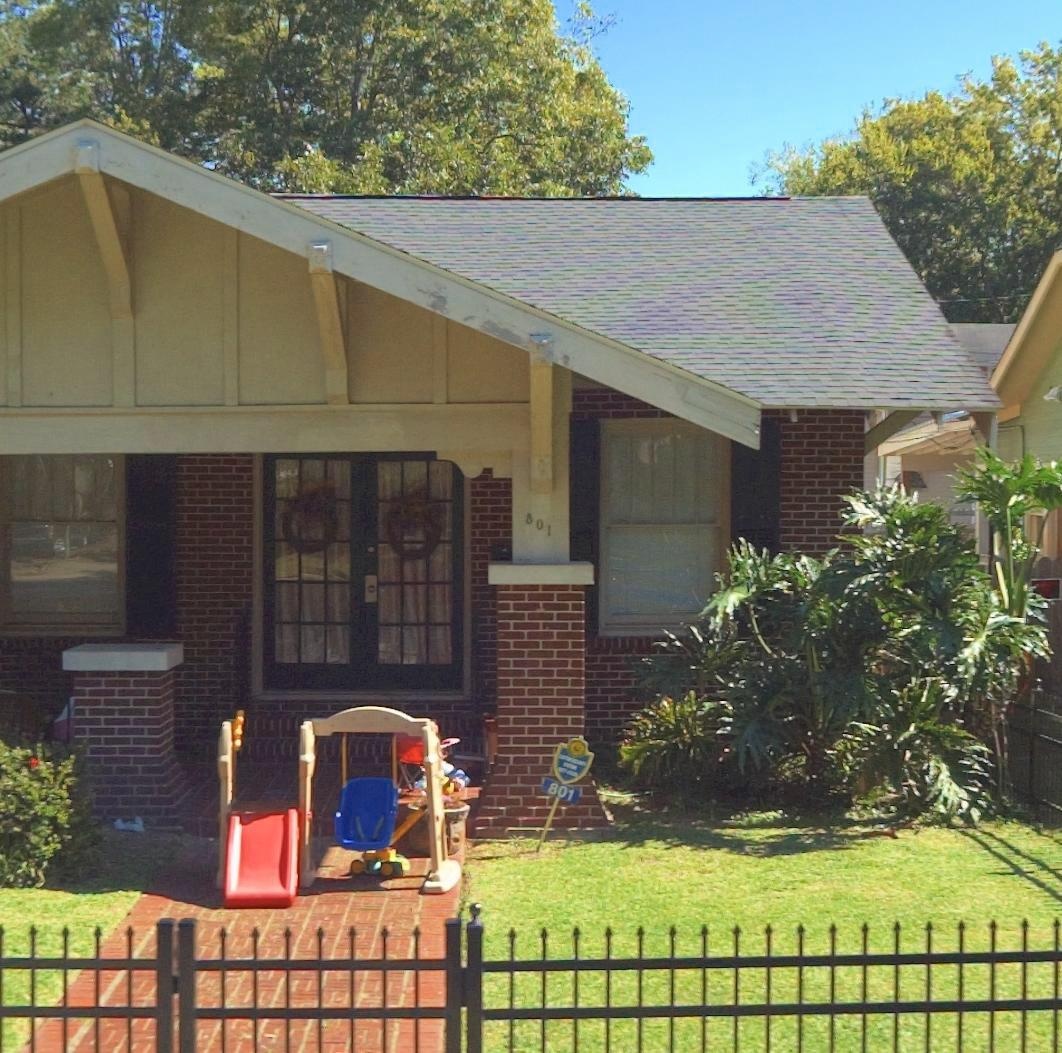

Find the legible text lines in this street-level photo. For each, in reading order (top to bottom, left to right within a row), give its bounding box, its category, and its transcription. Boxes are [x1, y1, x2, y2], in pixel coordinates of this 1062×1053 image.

[523, 510, 553, 541] StreetNumber: 801
[544, 779, 578, 805] StreetNumber: 801